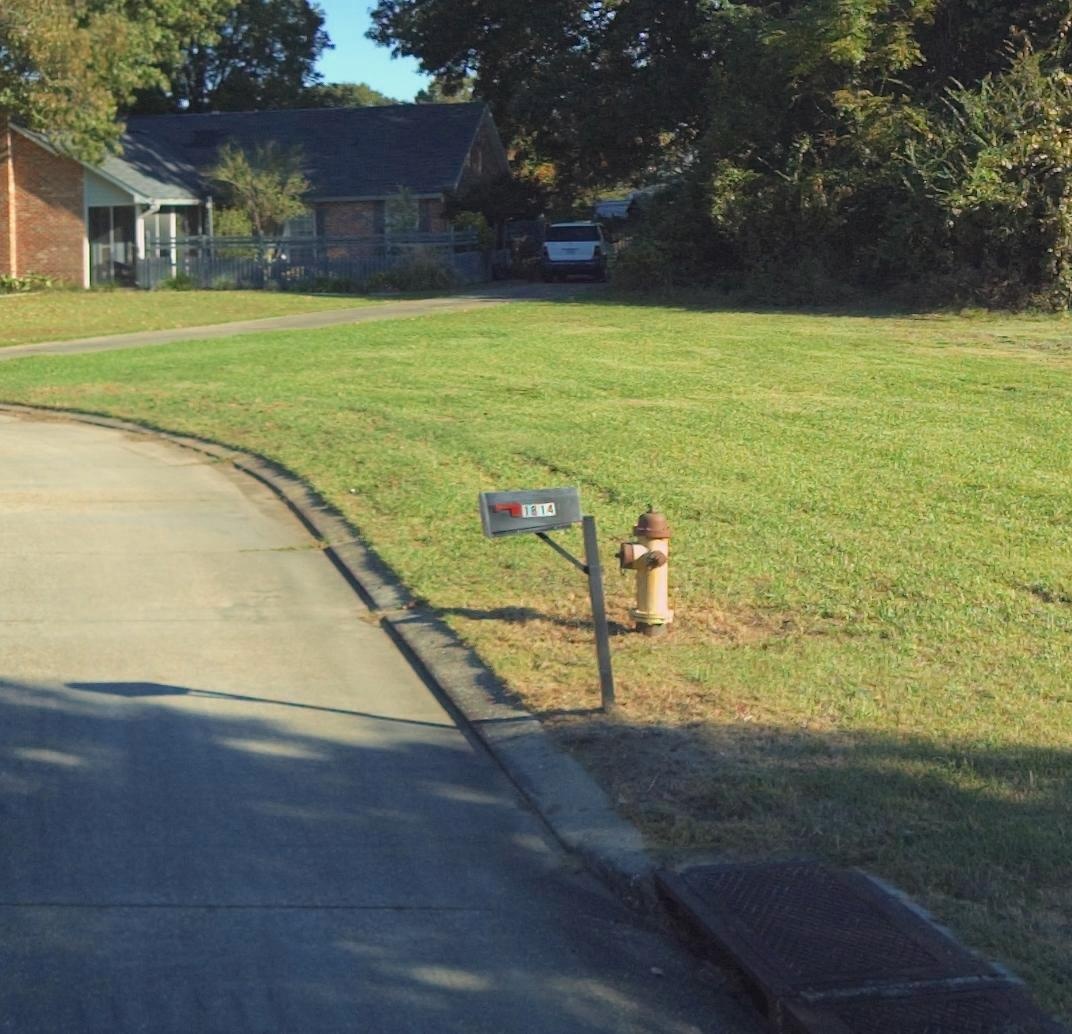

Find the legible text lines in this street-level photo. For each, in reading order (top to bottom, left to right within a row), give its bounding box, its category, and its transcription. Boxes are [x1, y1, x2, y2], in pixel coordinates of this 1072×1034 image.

[522, 503, 556, 518] StreetNumber: 1814